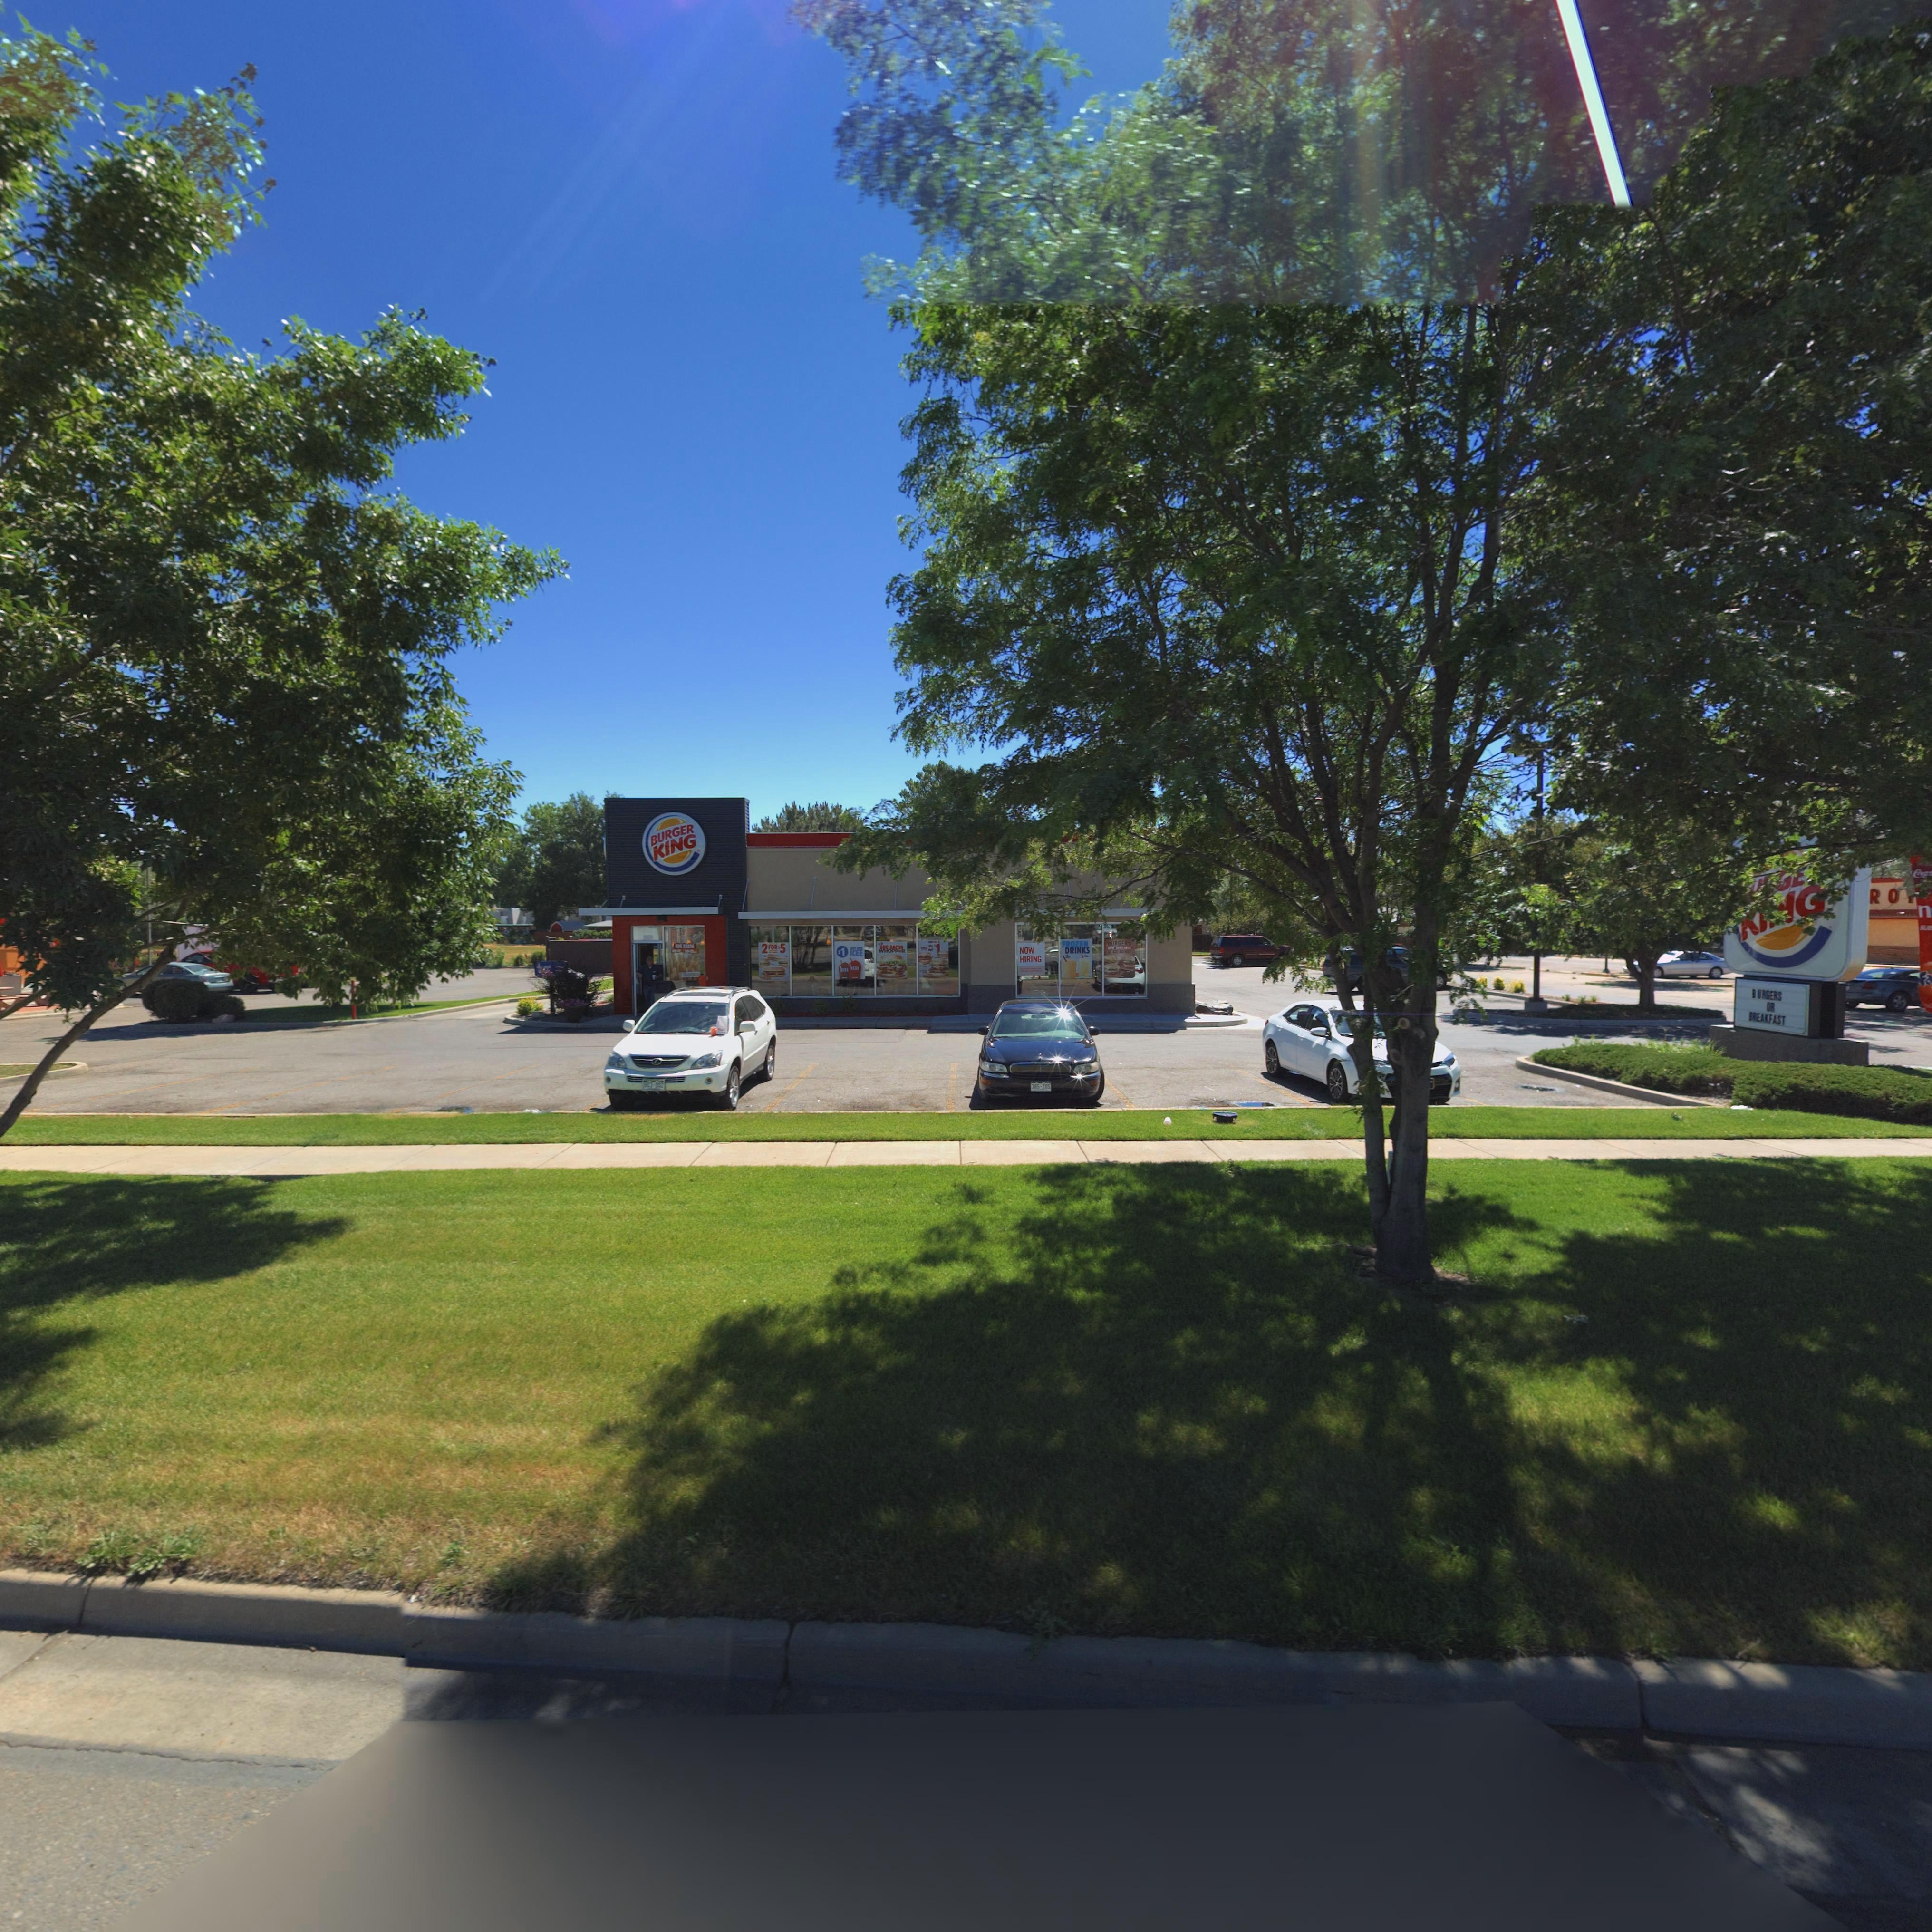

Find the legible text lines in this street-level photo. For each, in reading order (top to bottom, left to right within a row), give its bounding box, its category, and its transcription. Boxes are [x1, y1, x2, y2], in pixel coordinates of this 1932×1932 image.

[650, 824, 694, 847] BusinessName: BURGER
[653, 834, 696, 861] BusinessName: KING
[1869, 888, 1898, 904] BusinessName: RO